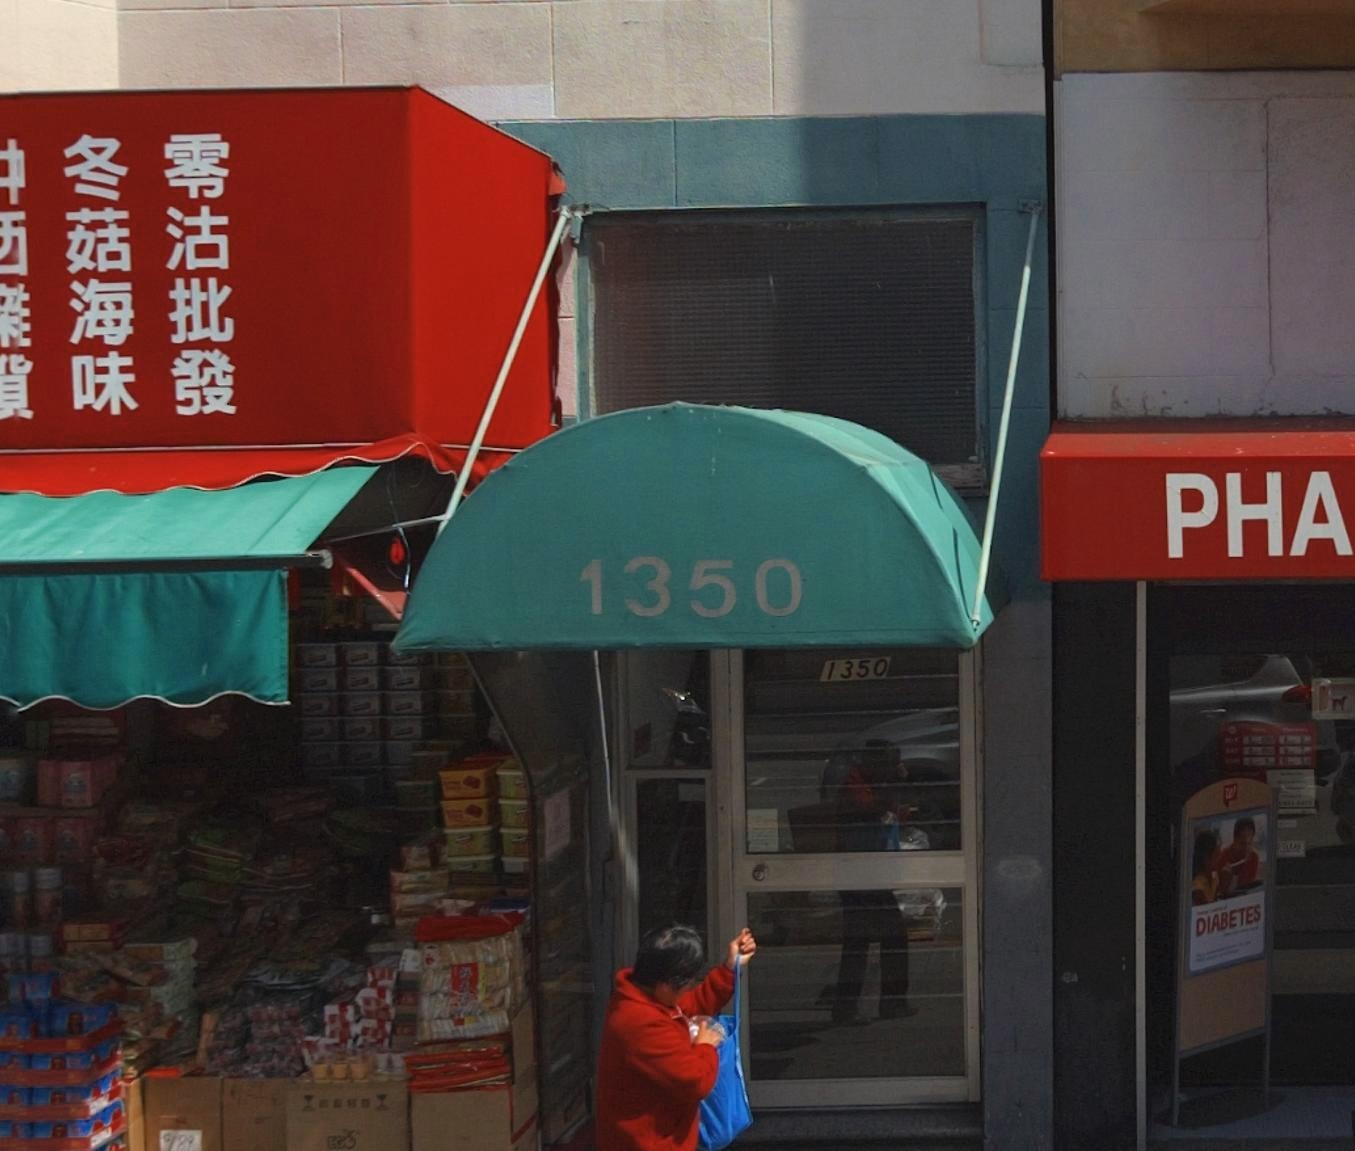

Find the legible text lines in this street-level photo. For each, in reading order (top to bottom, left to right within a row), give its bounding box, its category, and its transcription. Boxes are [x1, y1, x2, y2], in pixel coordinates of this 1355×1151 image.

[1164, 470, 1355, 560] None: PHA
[577, 554, 805, 619] StreetNumber: 1350
[824, 657, 891, 681] StreetNumber: 1350
[1223, 783, 1237, 801] None: W
[1195, 901, 1262, 939] None: DIABETES